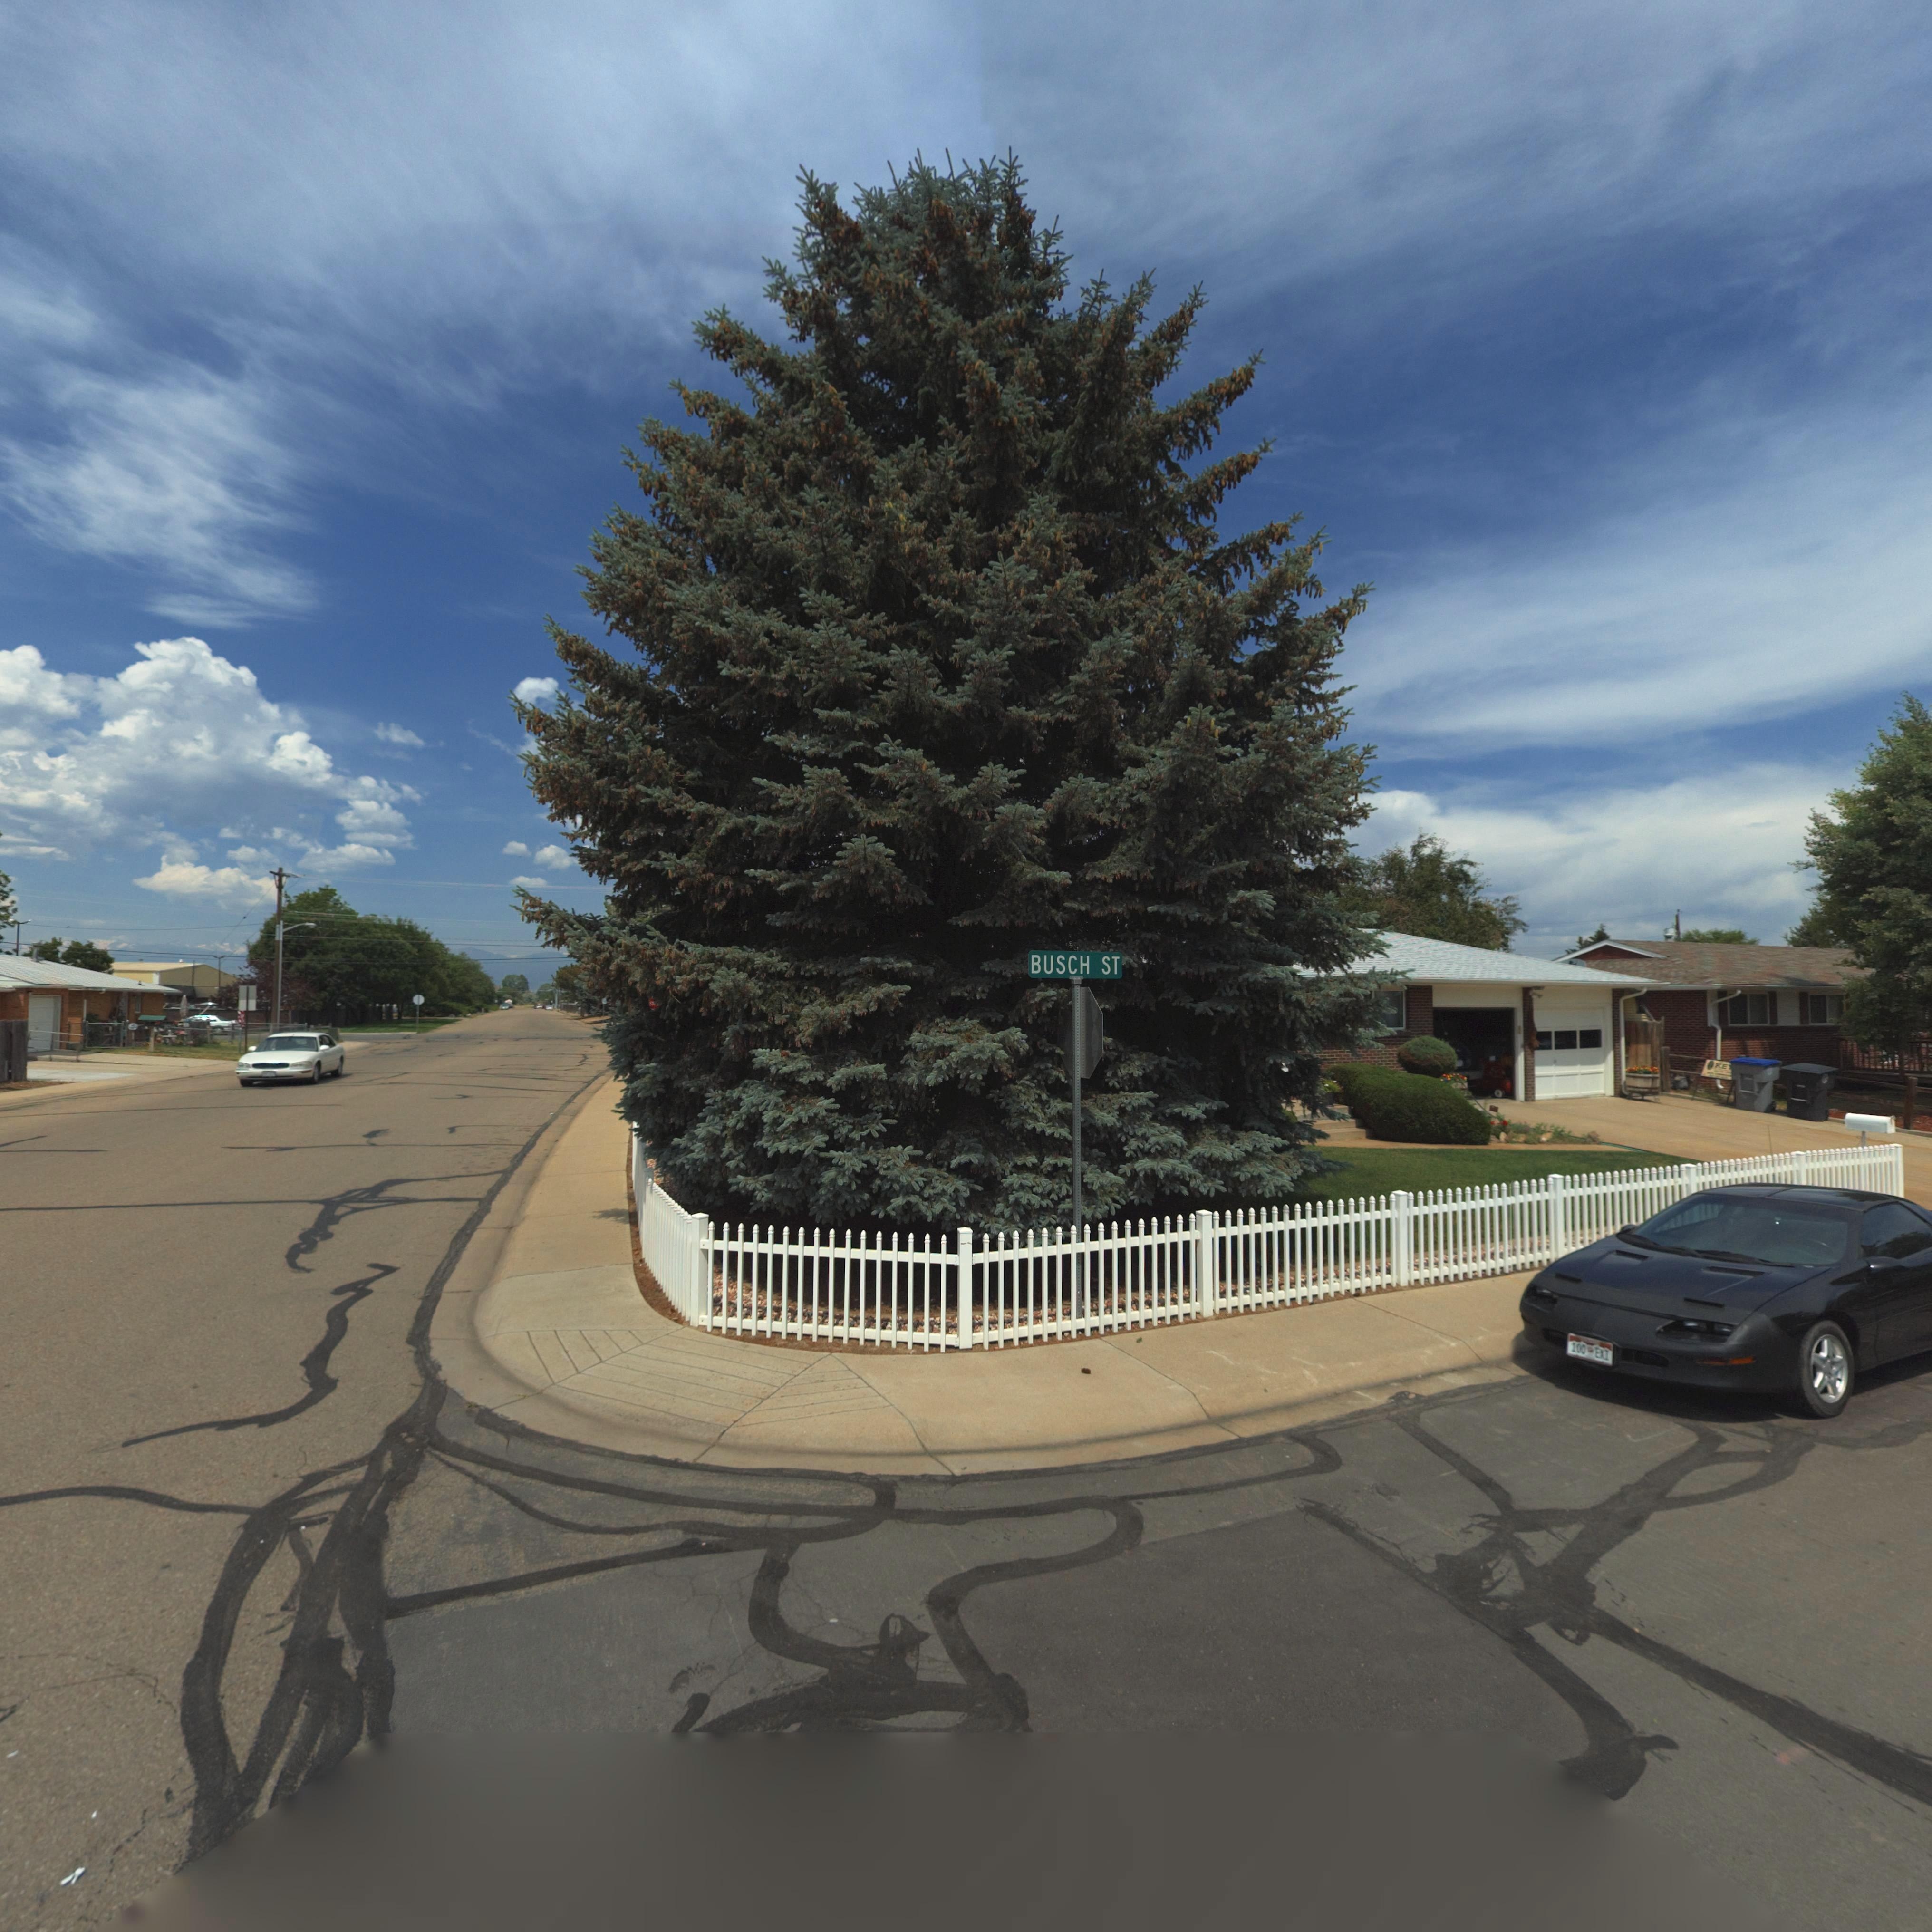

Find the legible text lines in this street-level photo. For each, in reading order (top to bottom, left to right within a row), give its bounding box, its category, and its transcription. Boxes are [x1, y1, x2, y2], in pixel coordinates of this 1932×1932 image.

[1031, 954, 1121, 975] StreetName: BUSCH ST